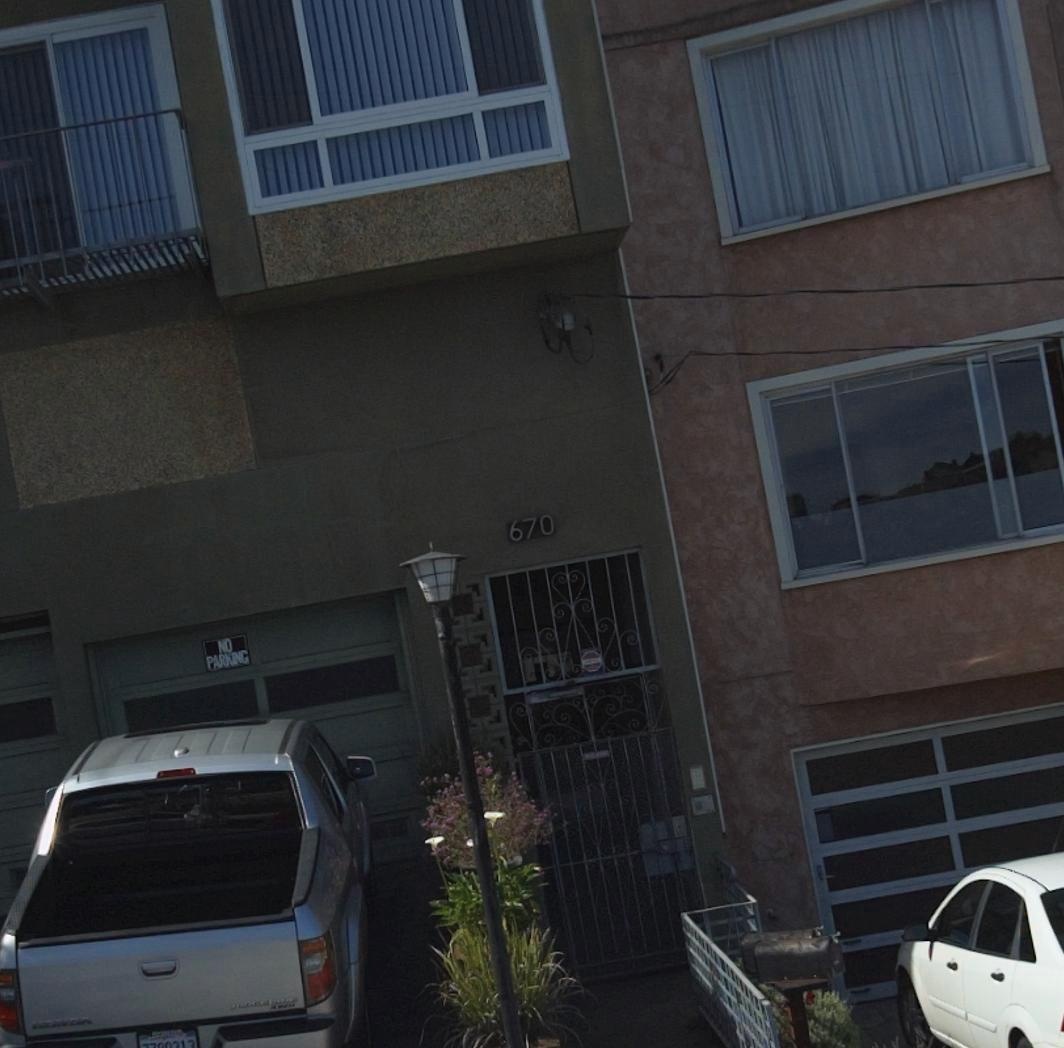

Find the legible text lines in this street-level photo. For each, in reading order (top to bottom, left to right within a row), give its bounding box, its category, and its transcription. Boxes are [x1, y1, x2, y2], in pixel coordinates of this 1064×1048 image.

[508, 514, 556, 543] StreetNumber: 670
[217, 636, 234, 654] None: NO
[205, 648, 250, 671] None: PARKING